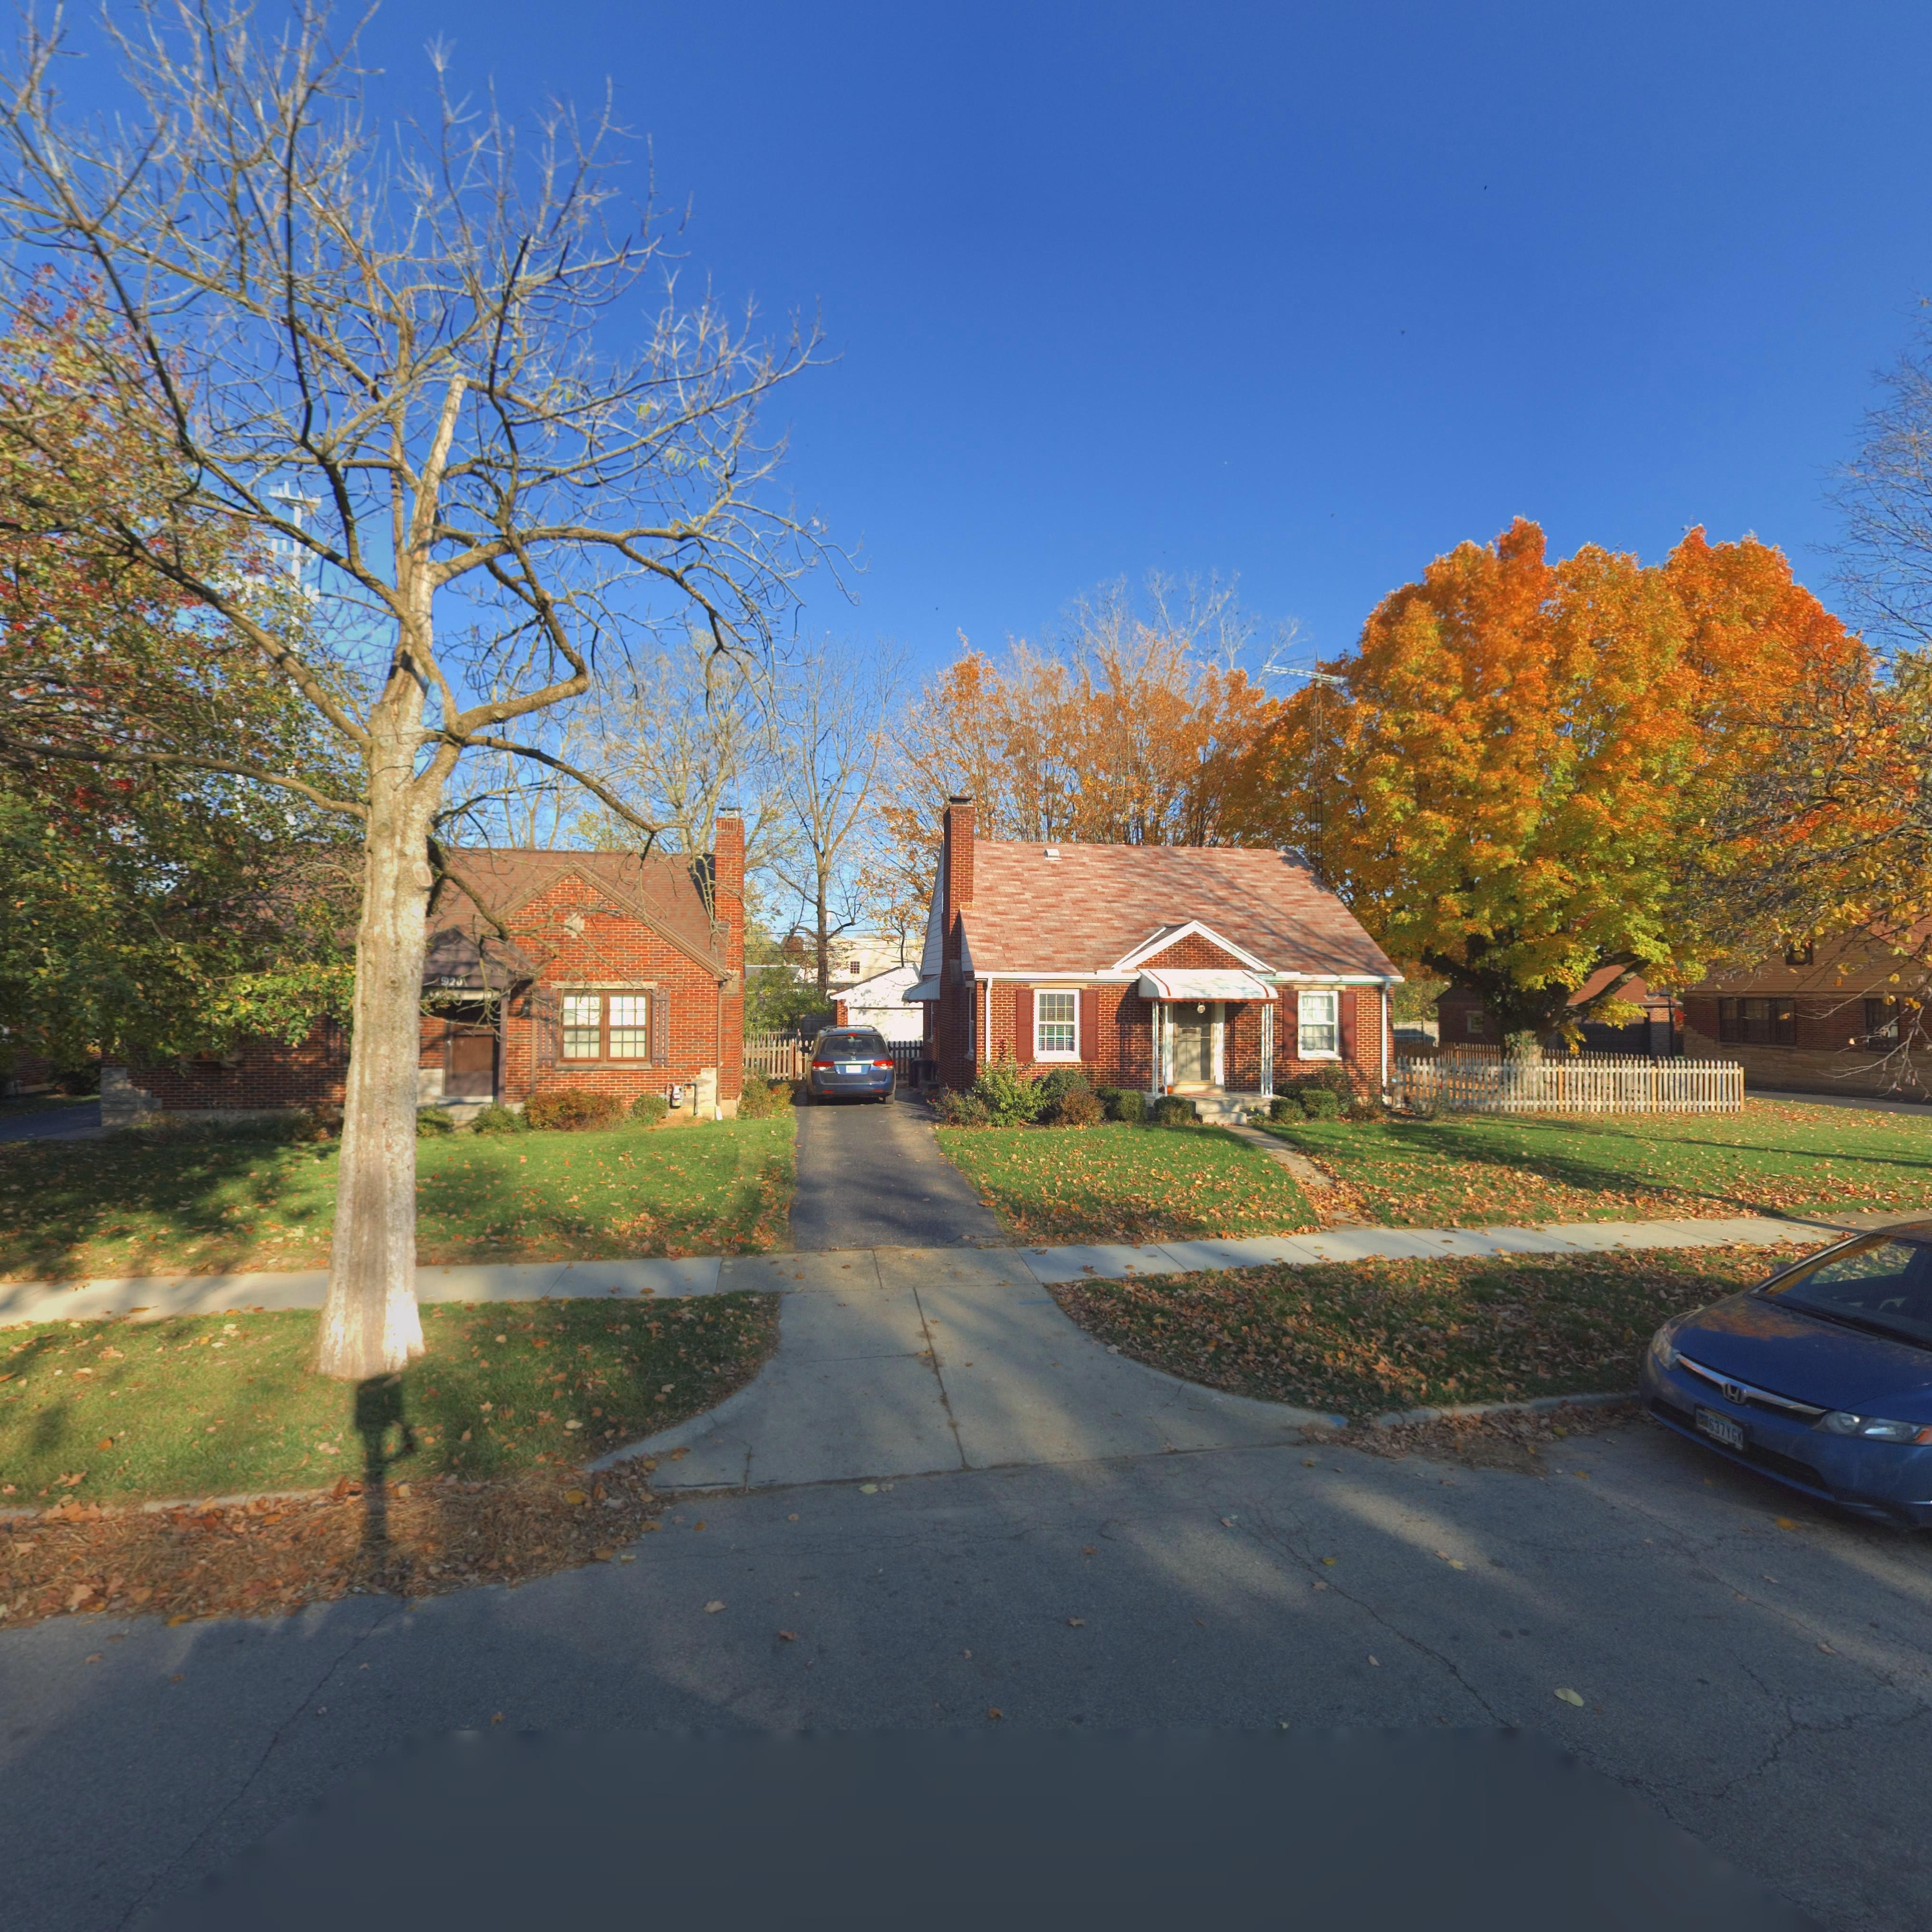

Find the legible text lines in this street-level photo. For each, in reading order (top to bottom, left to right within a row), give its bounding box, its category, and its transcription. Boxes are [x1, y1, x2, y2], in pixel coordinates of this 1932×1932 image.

[439, 976, 463, 987] StreetNumber: 920